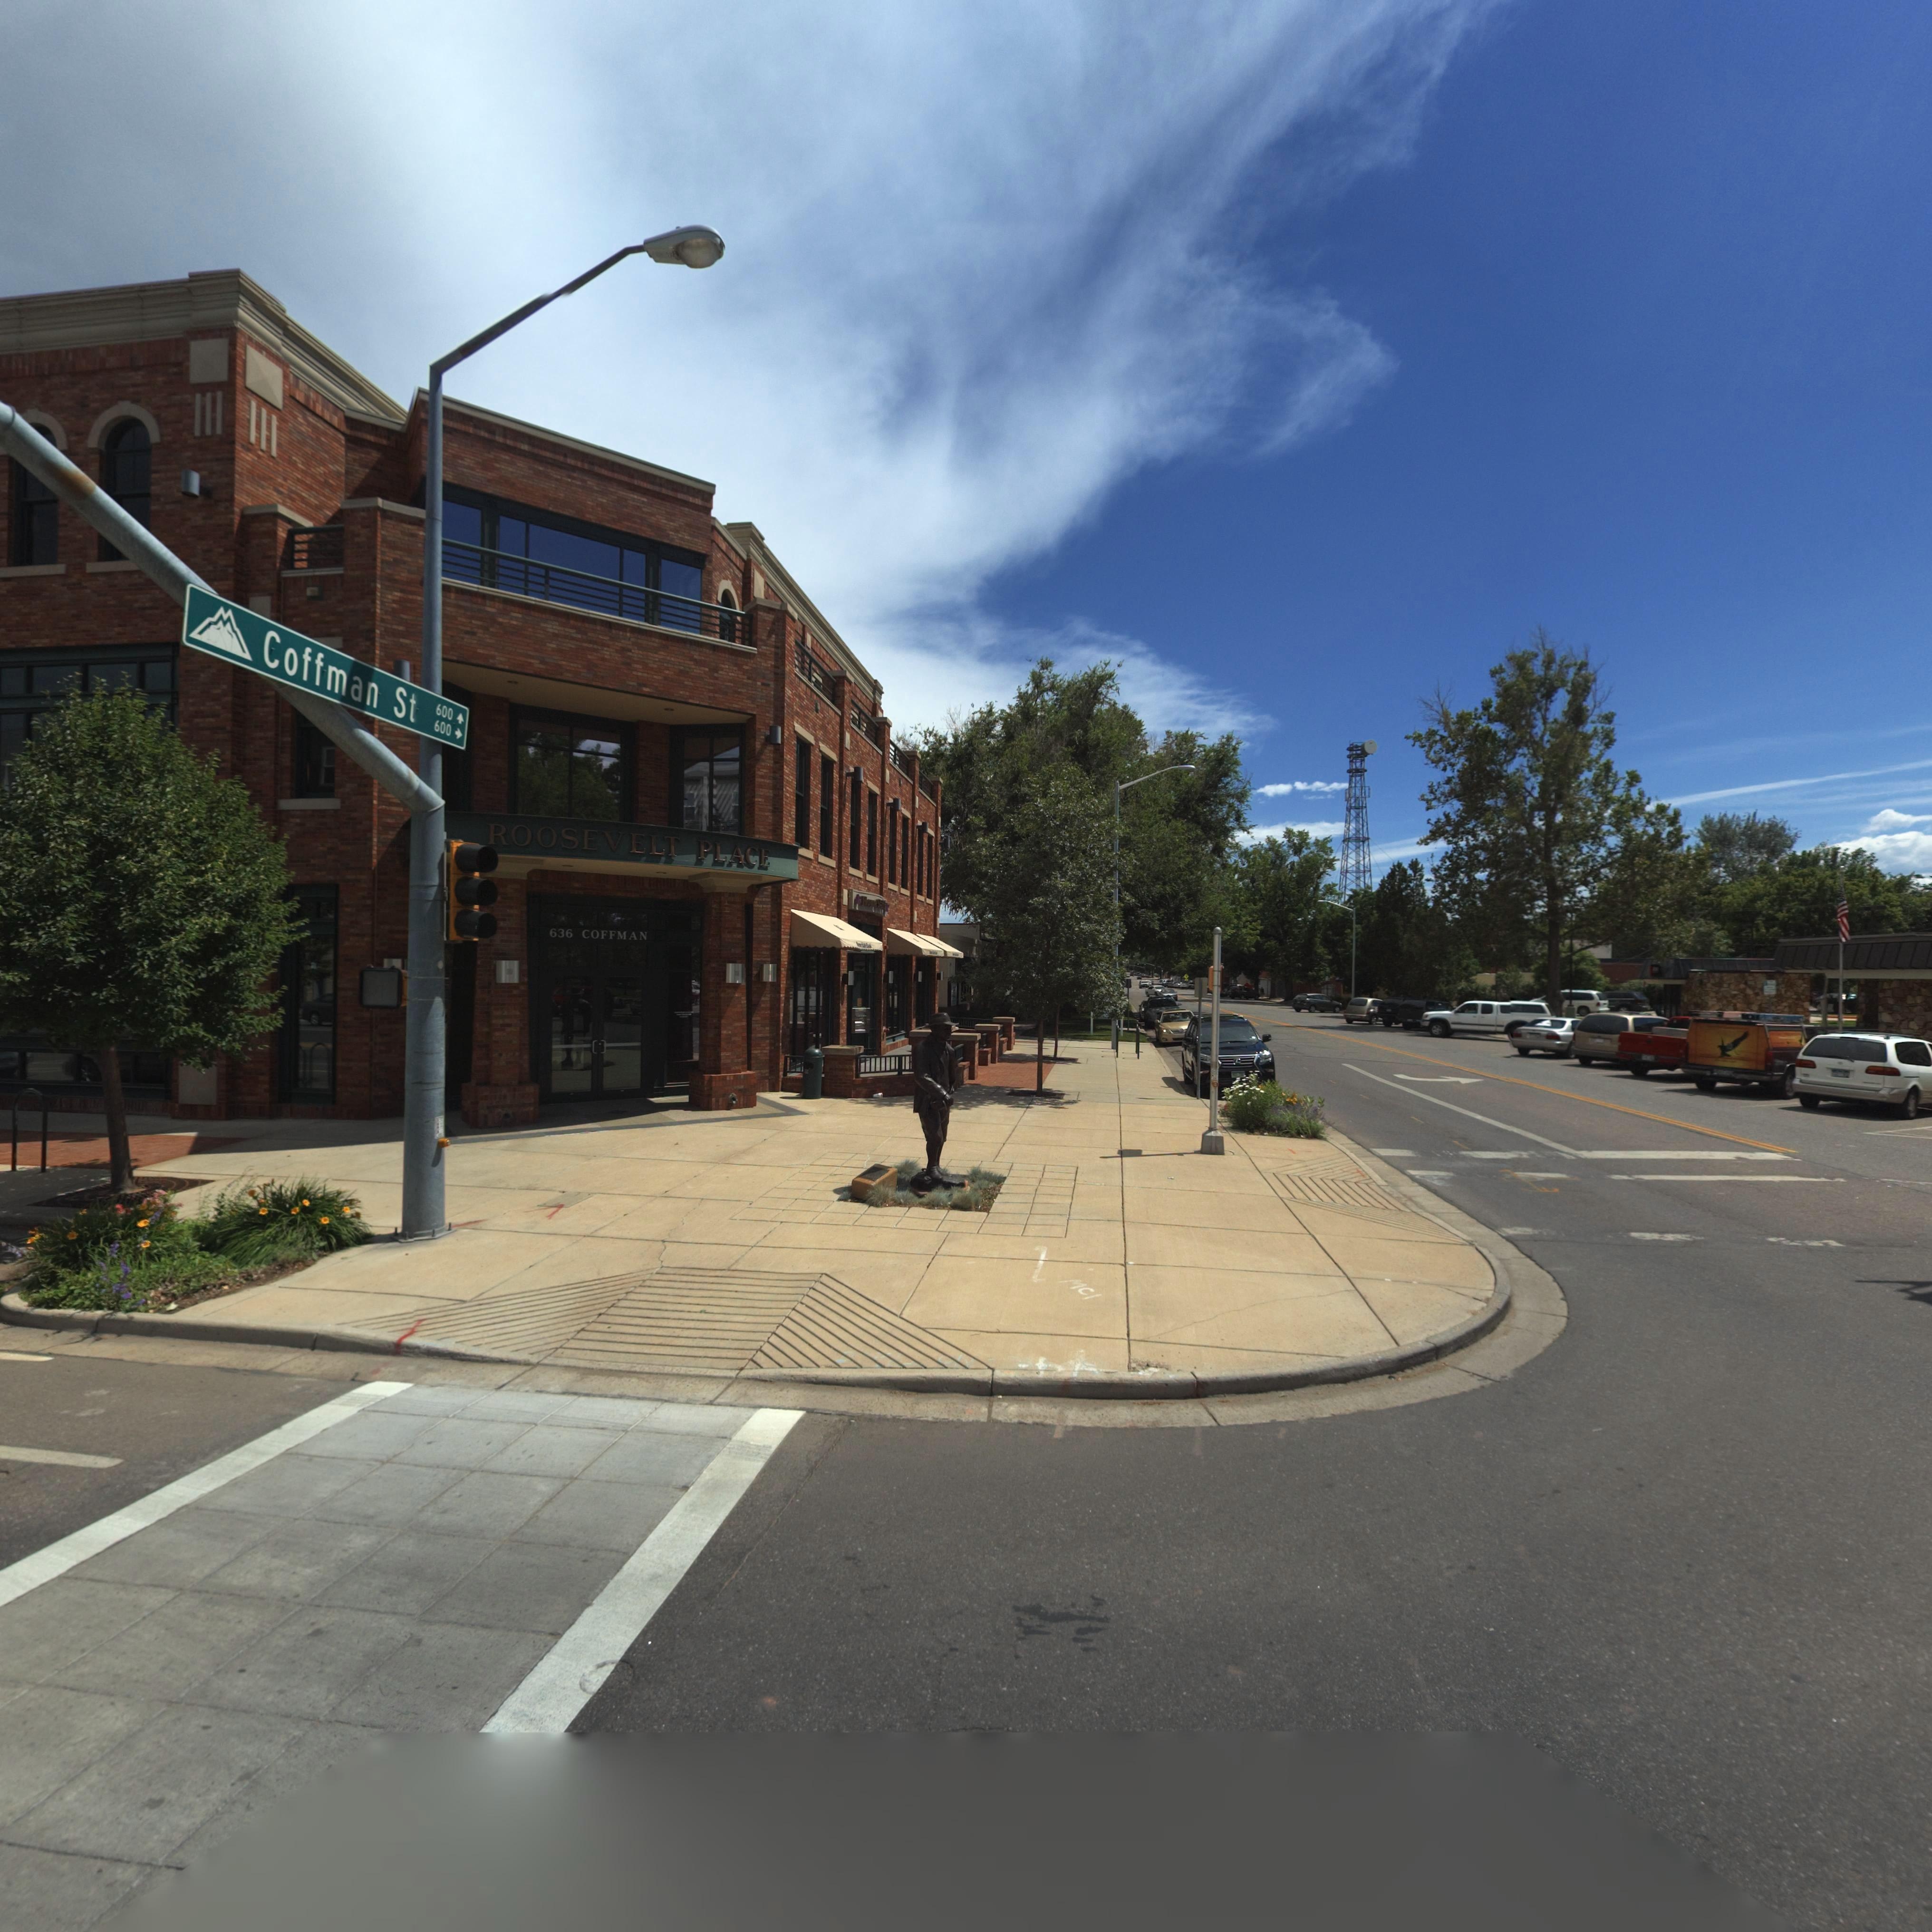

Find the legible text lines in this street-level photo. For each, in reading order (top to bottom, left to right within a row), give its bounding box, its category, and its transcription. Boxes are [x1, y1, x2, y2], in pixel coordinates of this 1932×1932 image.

[263, 630, 416, 724] StreetName: Coffman St
[436, 703, 454, 721] StreetNumberRange: 600
[434, 719, 464, 739] StreetNumberRange: 600 ->
[487, 822, 771, 868] BusinessName: ROOSEVELT PLACE
[862, 896, 884, 909] BusinessName: Home S***
[549, 928, 573, 938] StreetNumber: 636
[582, 929, 647, 940] StreetName: COFFMAN